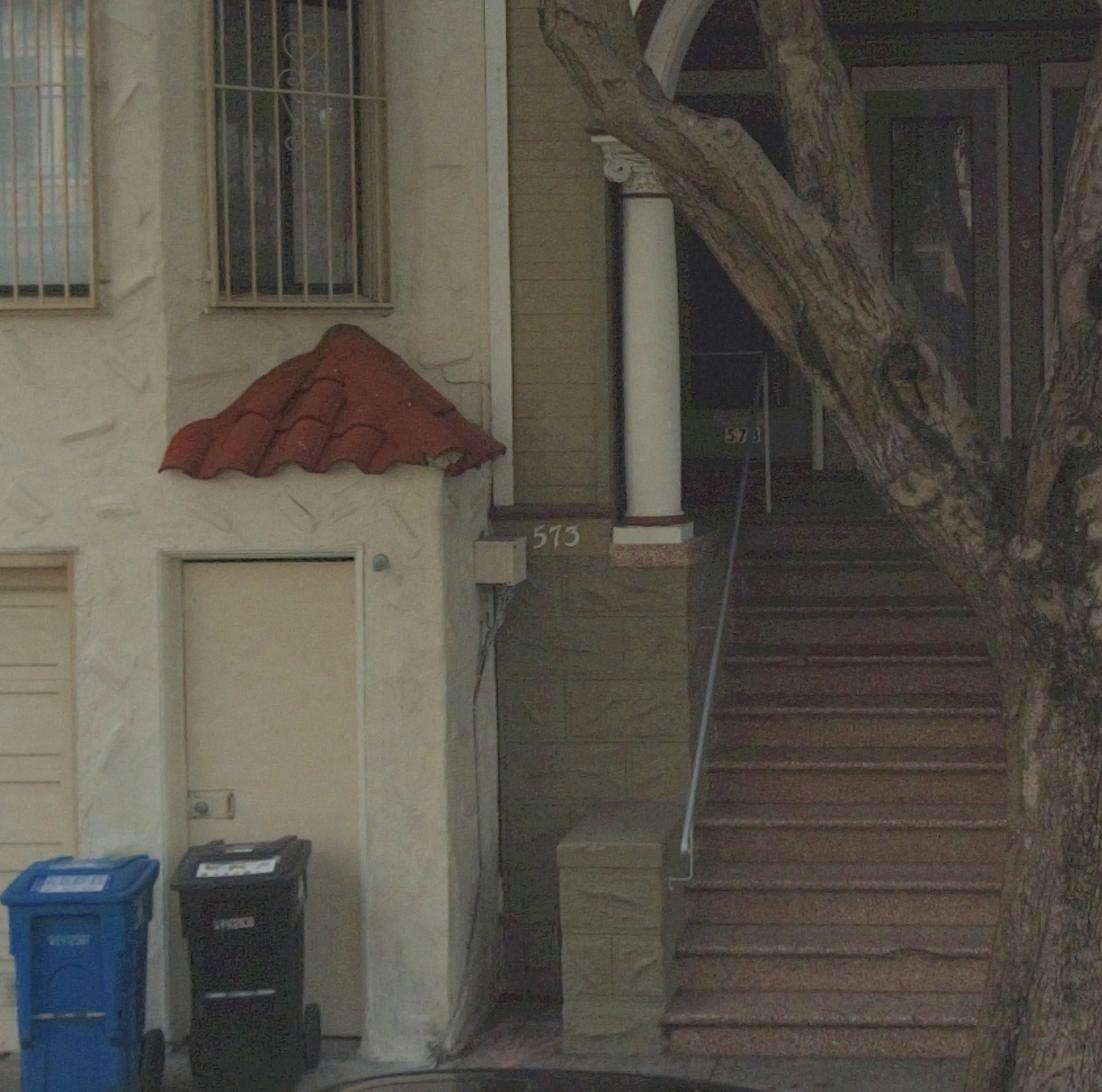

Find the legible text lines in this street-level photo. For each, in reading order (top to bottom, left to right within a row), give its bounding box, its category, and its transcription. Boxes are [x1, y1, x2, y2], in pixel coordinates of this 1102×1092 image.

[724, 426, 760, 444] StreetNumber: 57*
[531, 523, 581, 550] StreetNumber: 573